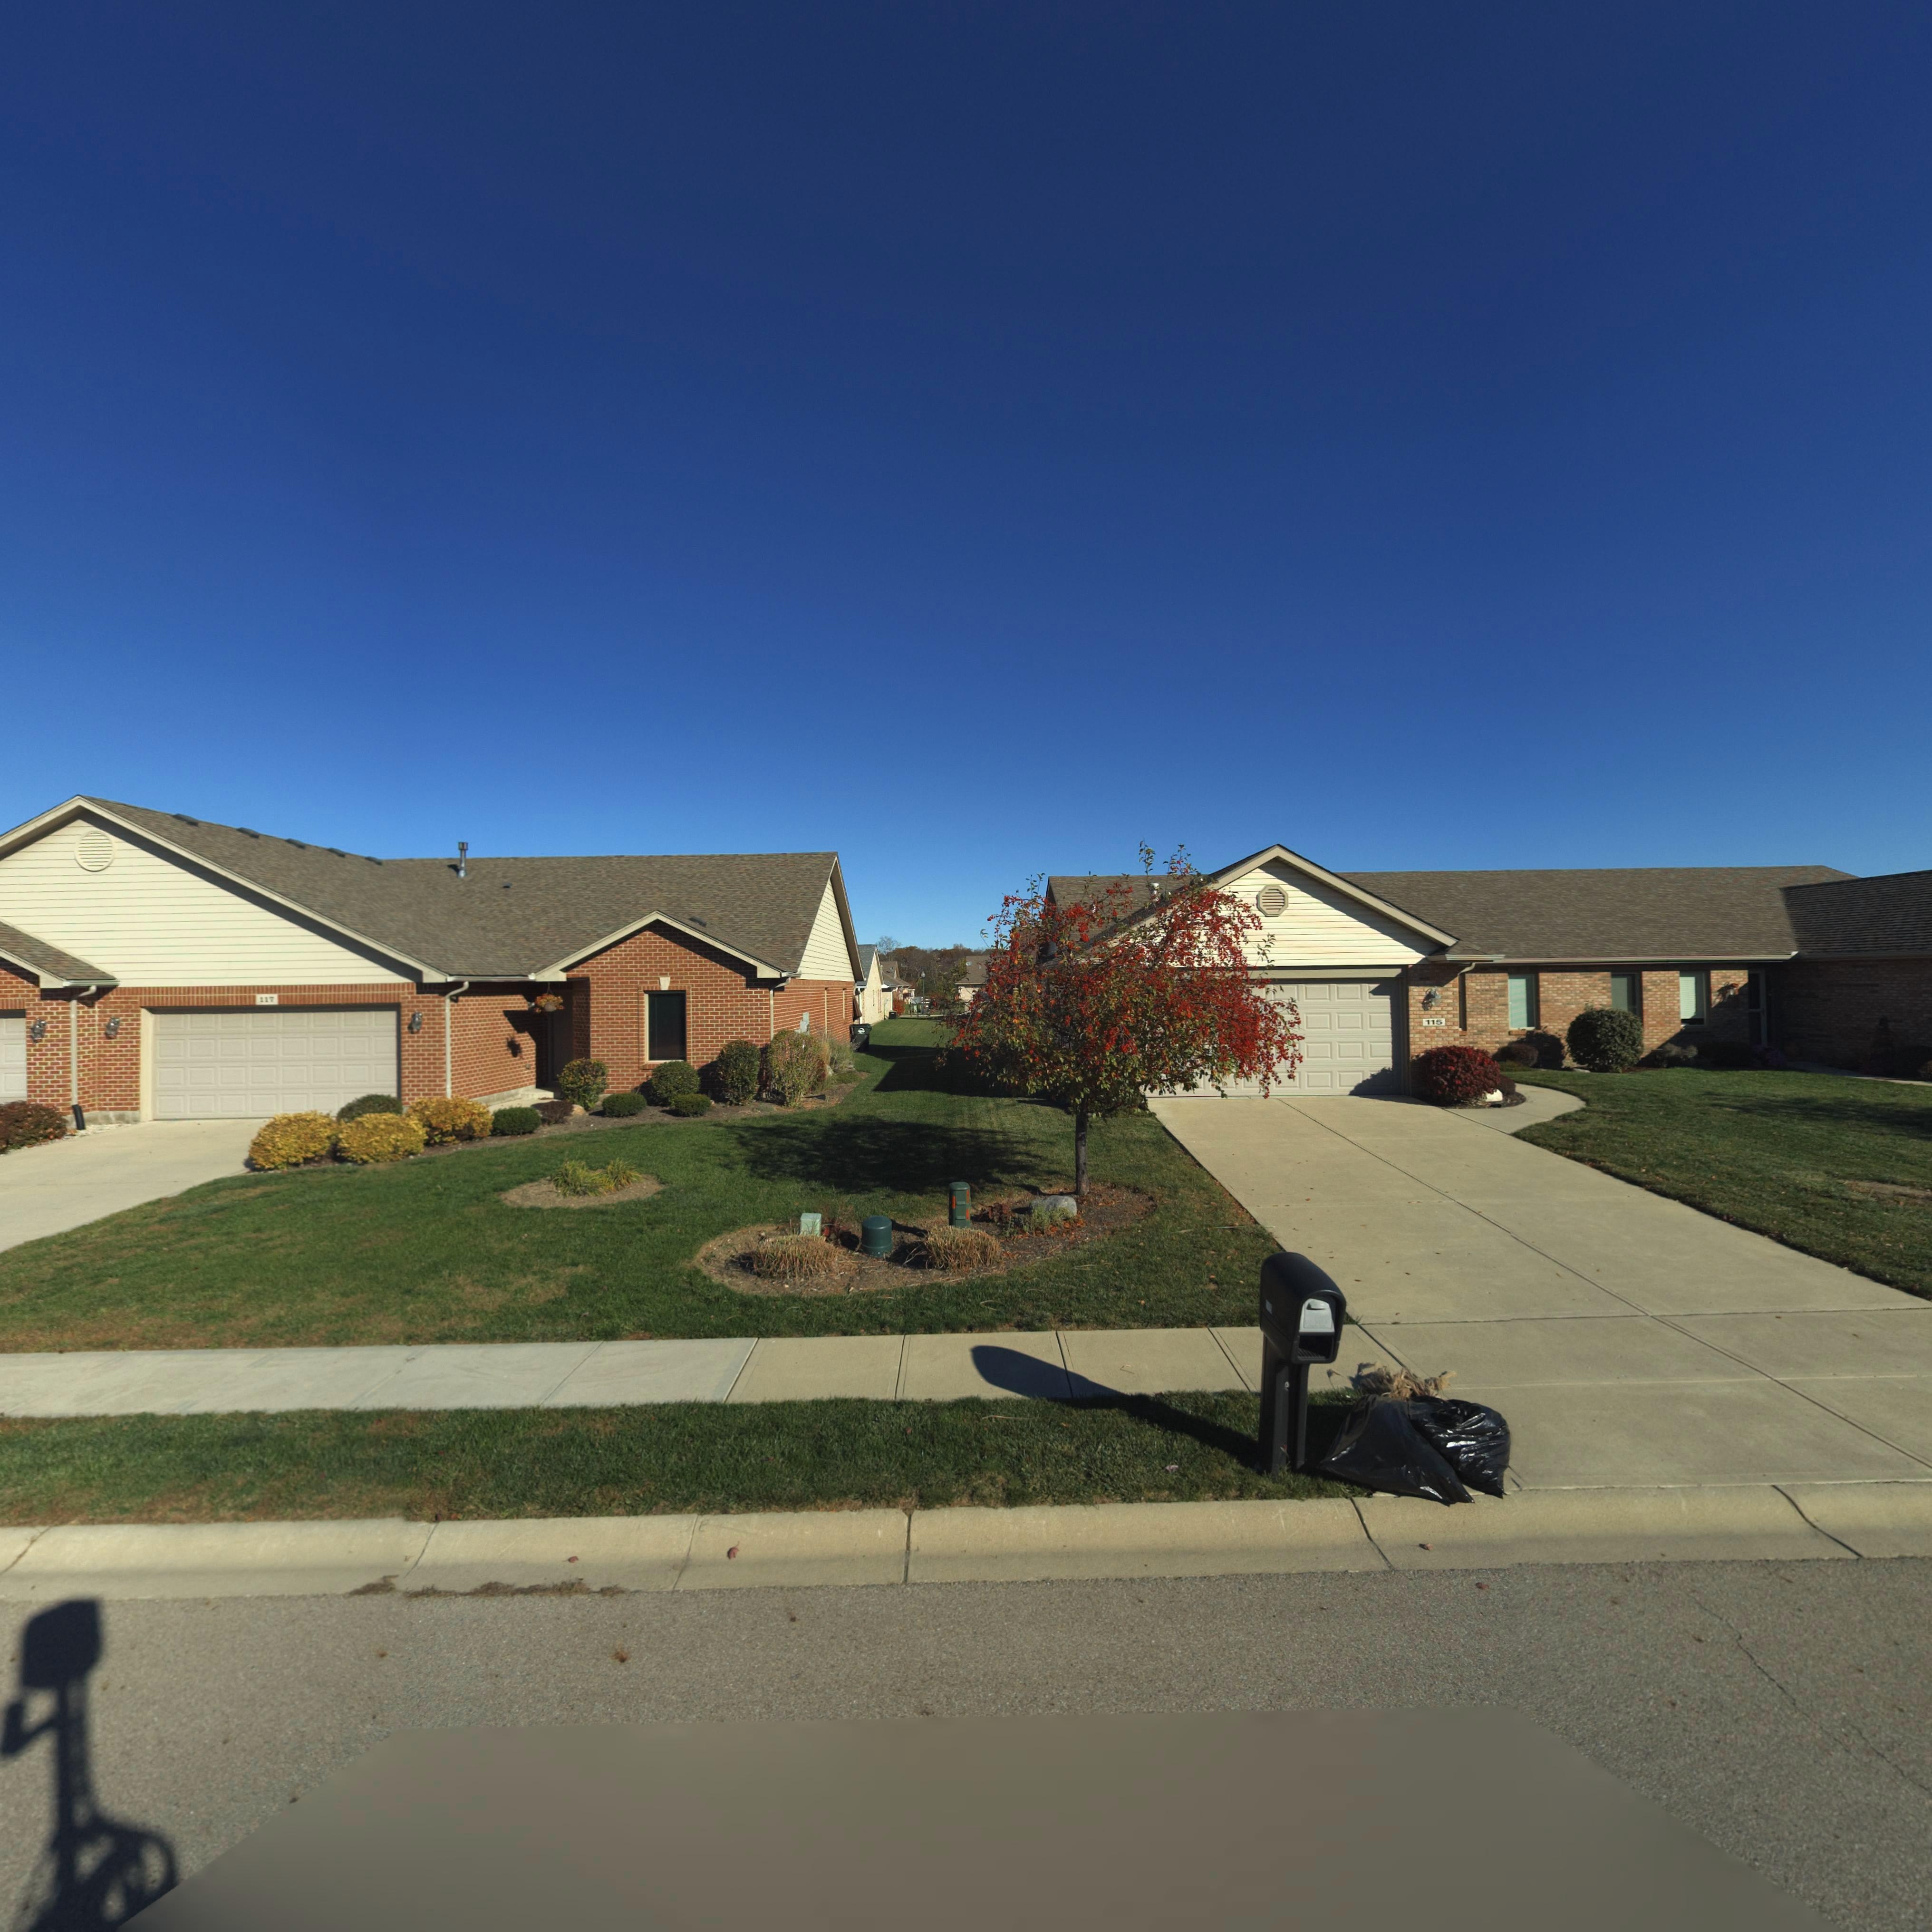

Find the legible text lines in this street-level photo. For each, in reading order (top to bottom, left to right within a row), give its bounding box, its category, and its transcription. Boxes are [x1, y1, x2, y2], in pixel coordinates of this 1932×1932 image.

[259, 996, 275, 1003] StreetNumber: 117
[1425, 1019, 1443, 1025] StreetNumber: 115